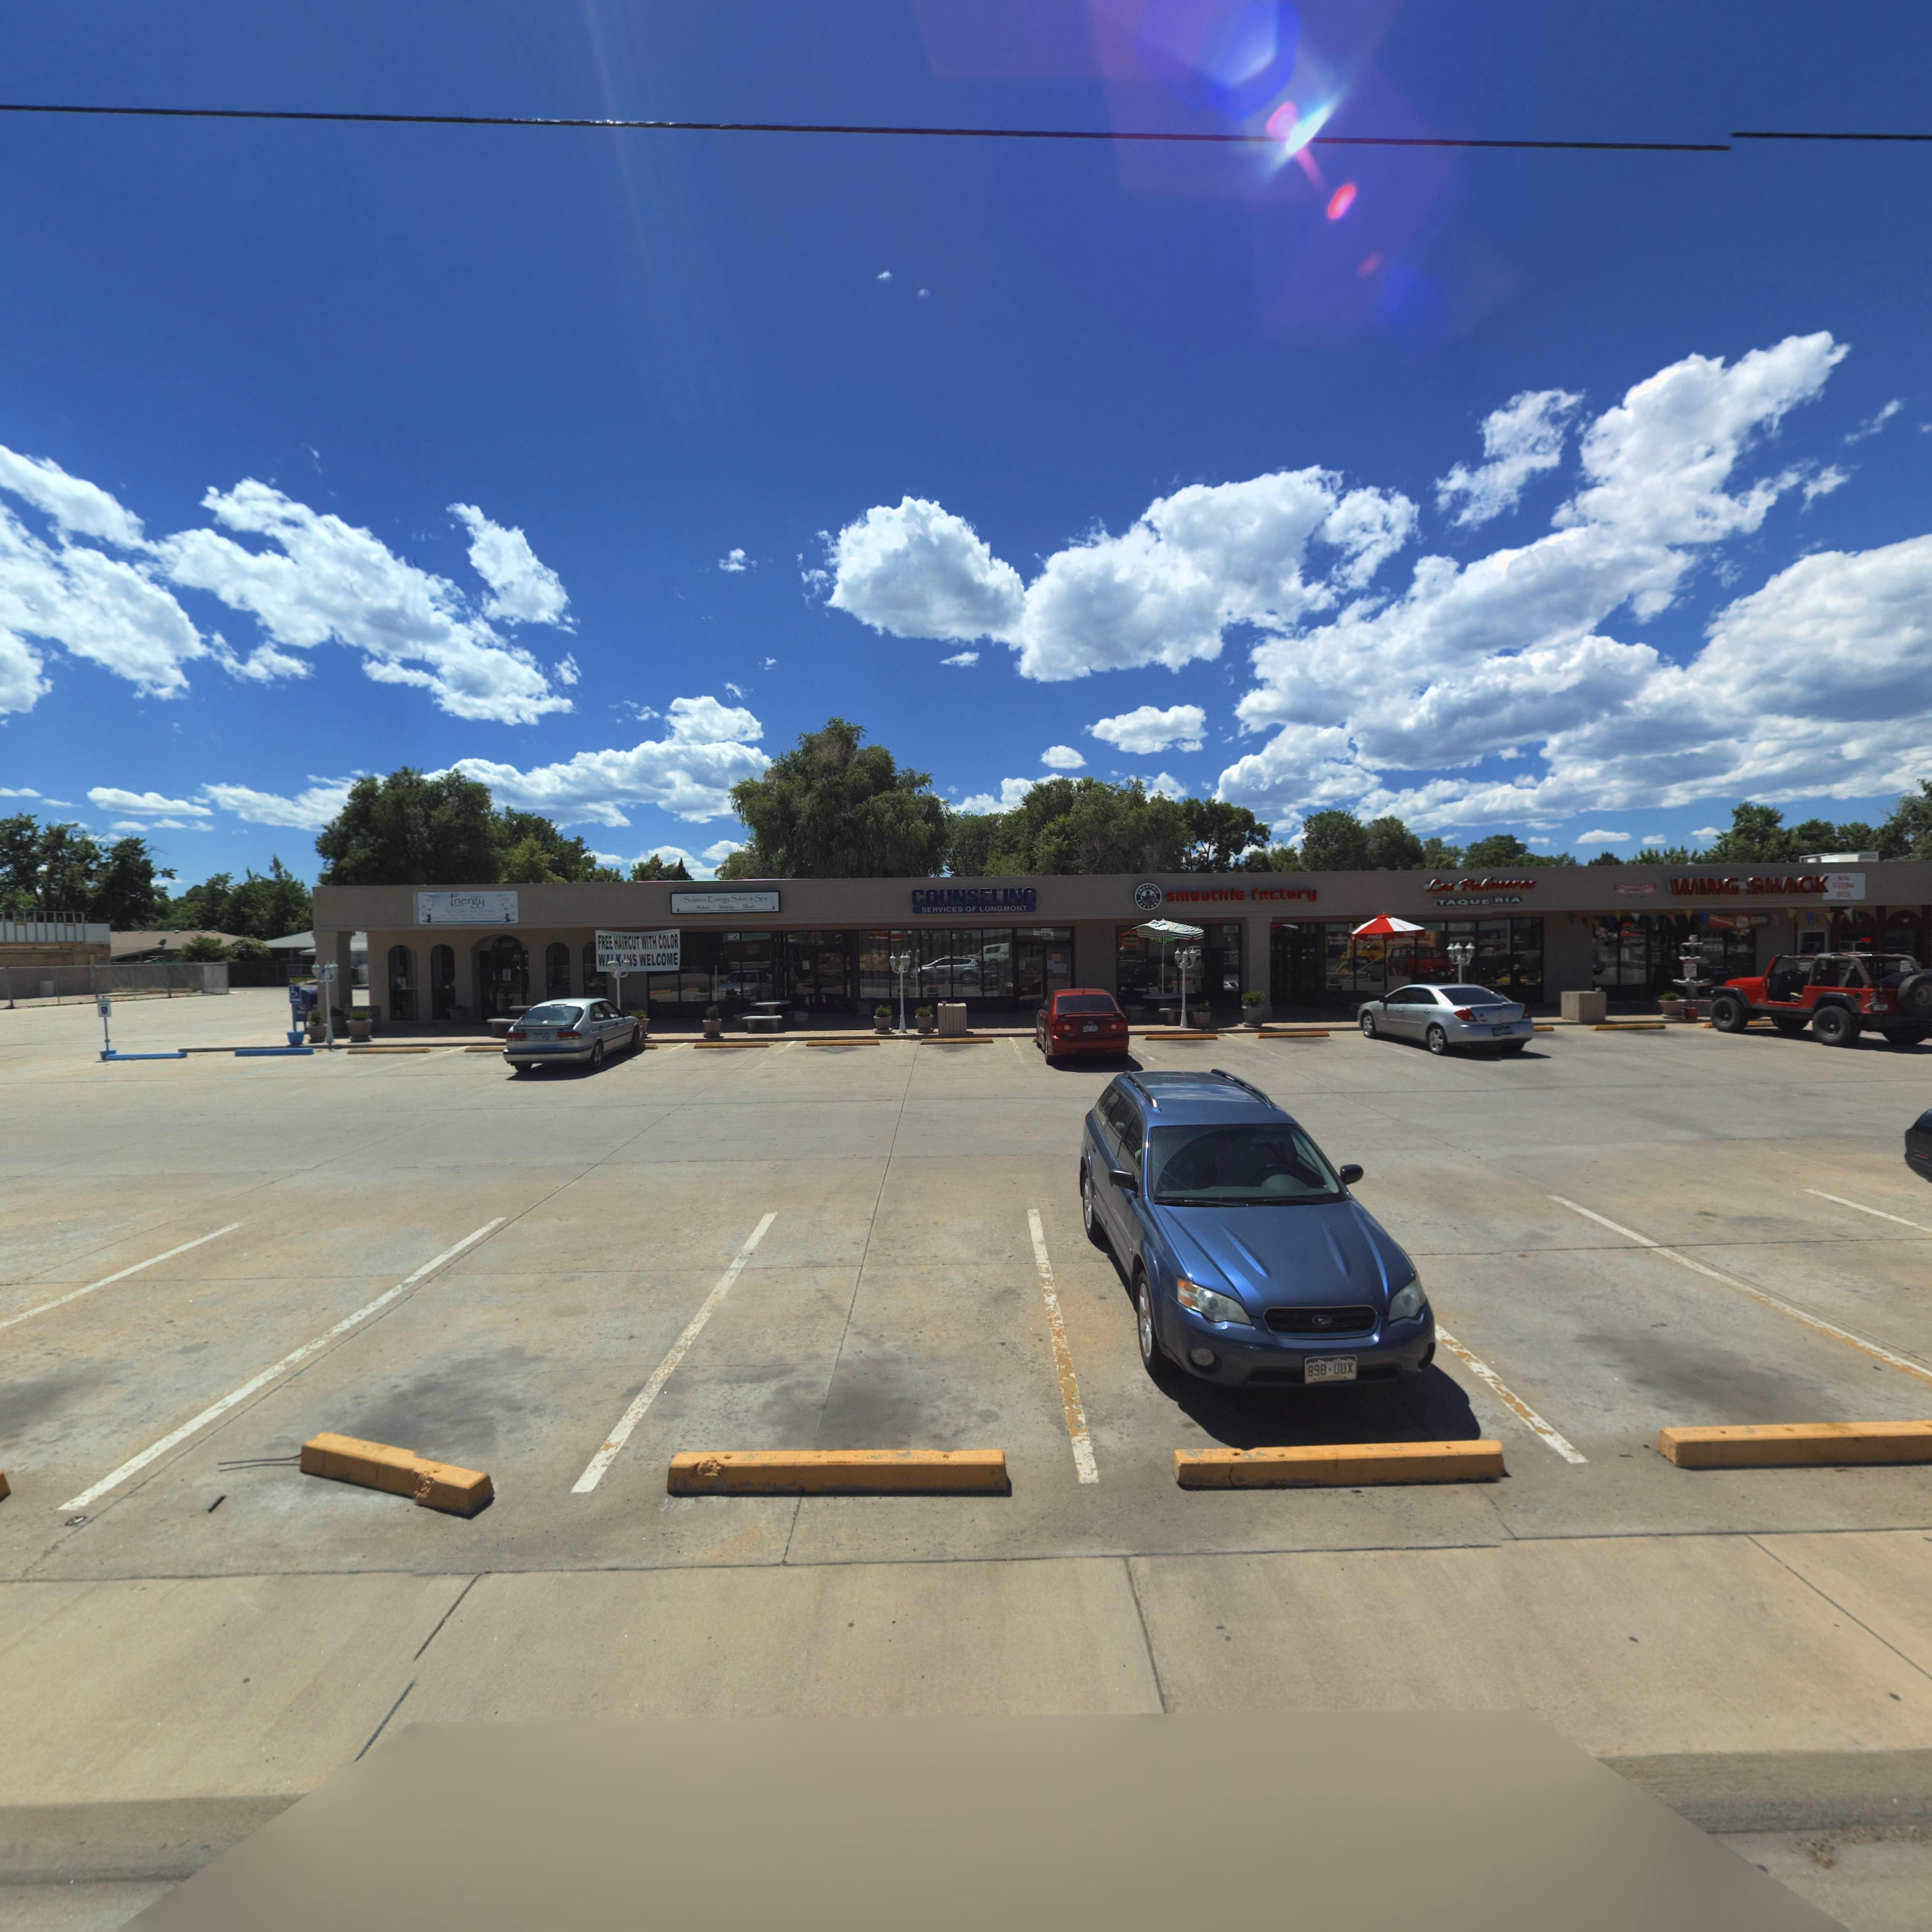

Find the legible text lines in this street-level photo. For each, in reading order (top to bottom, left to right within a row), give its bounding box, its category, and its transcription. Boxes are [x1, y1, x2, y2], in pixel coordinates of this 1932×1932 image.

[450, 892, 486, 909] BusinessName: Energy
[682, 894, 768, 904] BusinessName: Solstice Energy Salon * Spa
[910, 886, 1038, 906] BusinessName: COUNSELING
[1137, 885, 1159, 895] BusinessName: SMOOTHIE
[1137, 898, 1159, 908] BusinessName: *ACTORY
[1166, 887, 1319, 903] BusinessName: smoothie factory
[1438, 896, 1522, 906] BusinessName: TAQUERIA
[1423, 874, 1538, 893] BusinessName: Las Palmeras
[1668, 874, 1831, 896] BusinessName: WING SHACK
[921, 905, 1027, 913] BusinessName: SERVICES OF LONGMONT
[1039, 932, 1051, 937] StreetNumber: 1129